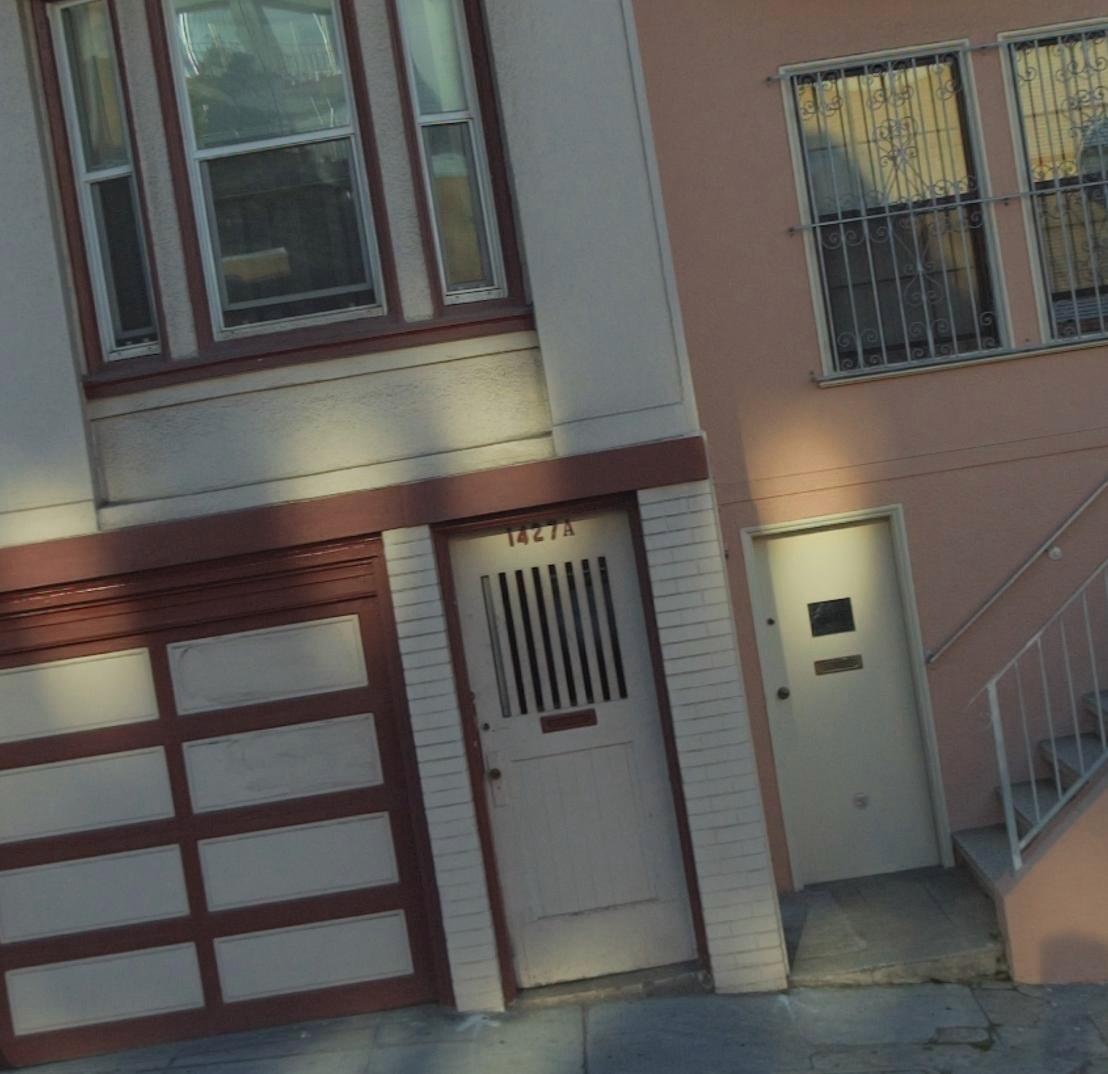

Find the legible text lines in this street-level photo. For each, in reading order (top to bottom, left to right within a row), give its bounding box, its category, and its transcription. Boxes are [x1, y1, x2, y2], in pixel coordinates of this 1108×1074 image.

[502, 514, 578, 551] StreetNumber: 1427A